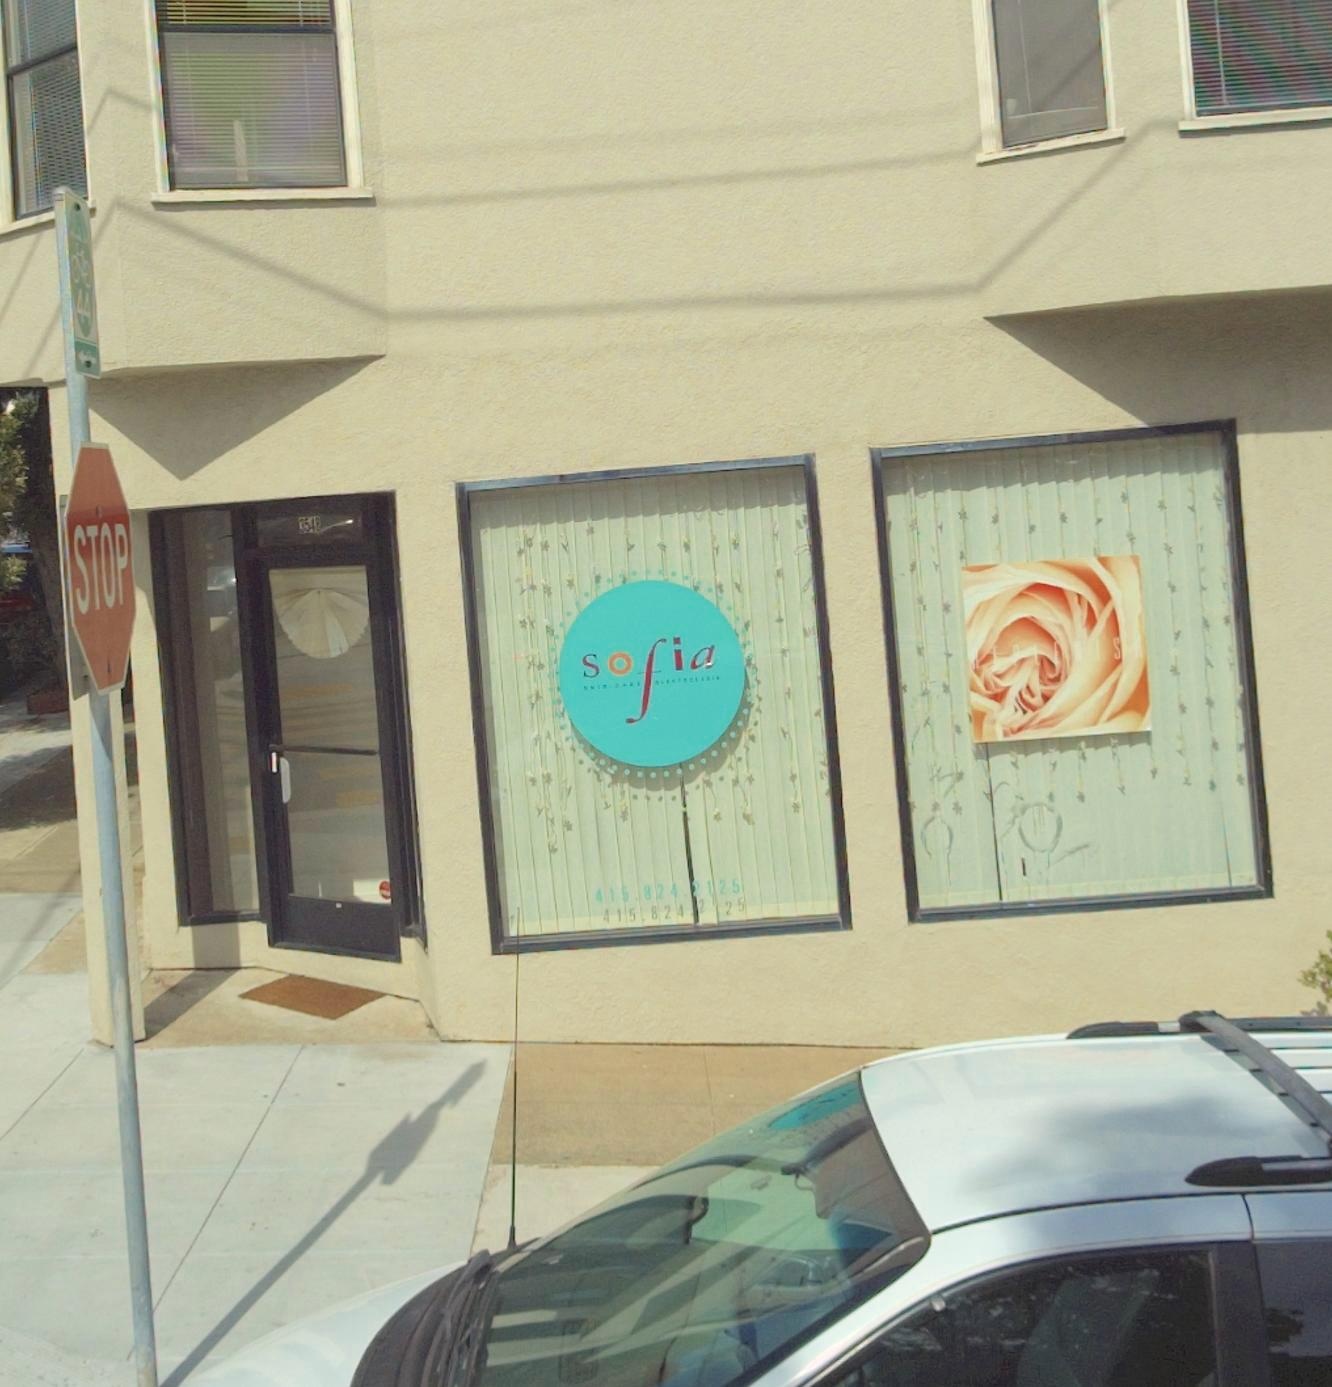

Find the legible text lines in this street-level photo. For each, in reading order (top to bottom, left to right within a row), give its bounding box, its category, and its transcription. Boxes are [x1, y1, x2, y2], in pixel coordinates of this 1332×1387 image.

[74, 286, 93, 328] None: 44
[298, 516, 316, 534] StreetNumber: 354
[70, 518, 132, 619] None: STOP
[970, 633, 1146, 673] None: ****E**SA
[581, 635, 718, 728] BusinessName: Sofia
[590, 875, 743, 905] None: 415.824.2125
[600, 895, 747, 927] None: 415.824.2125